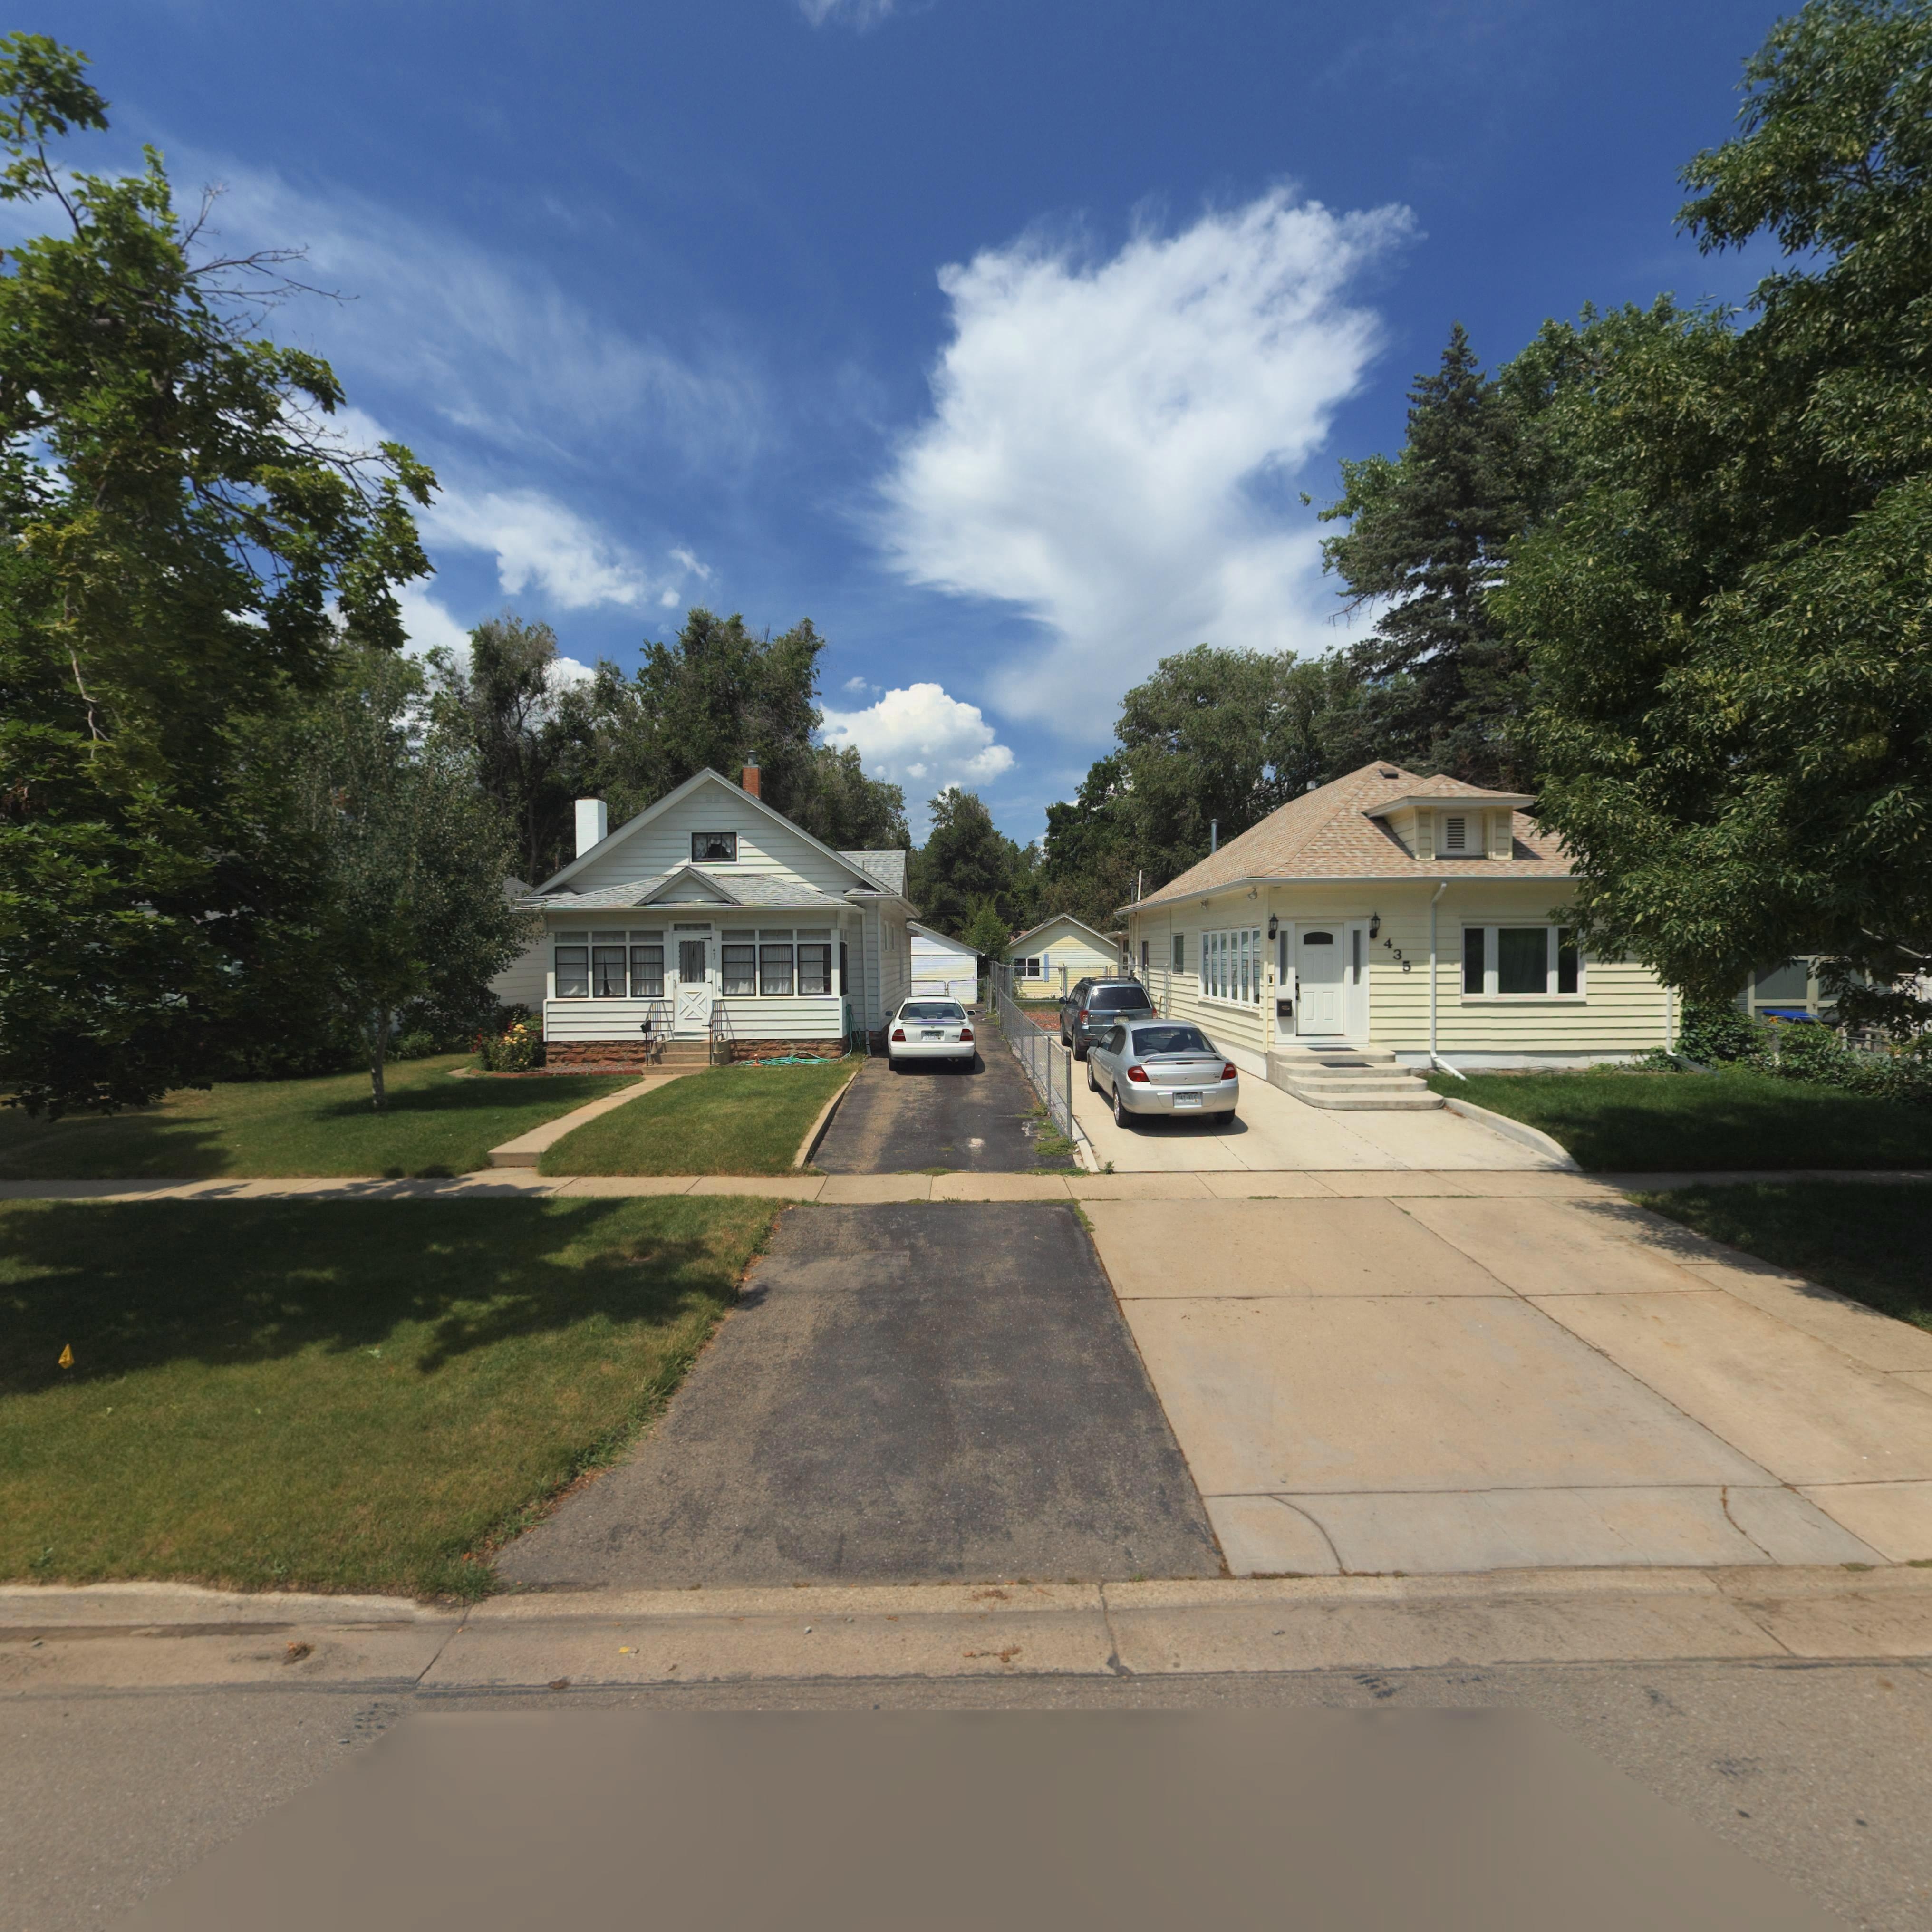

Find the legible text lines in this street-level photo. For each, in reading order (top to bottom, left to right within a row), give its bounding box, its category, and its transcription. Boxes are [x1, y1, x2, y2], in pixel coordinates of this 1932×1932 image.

[1382, 937, 1410, 972] StreetNumber: 435